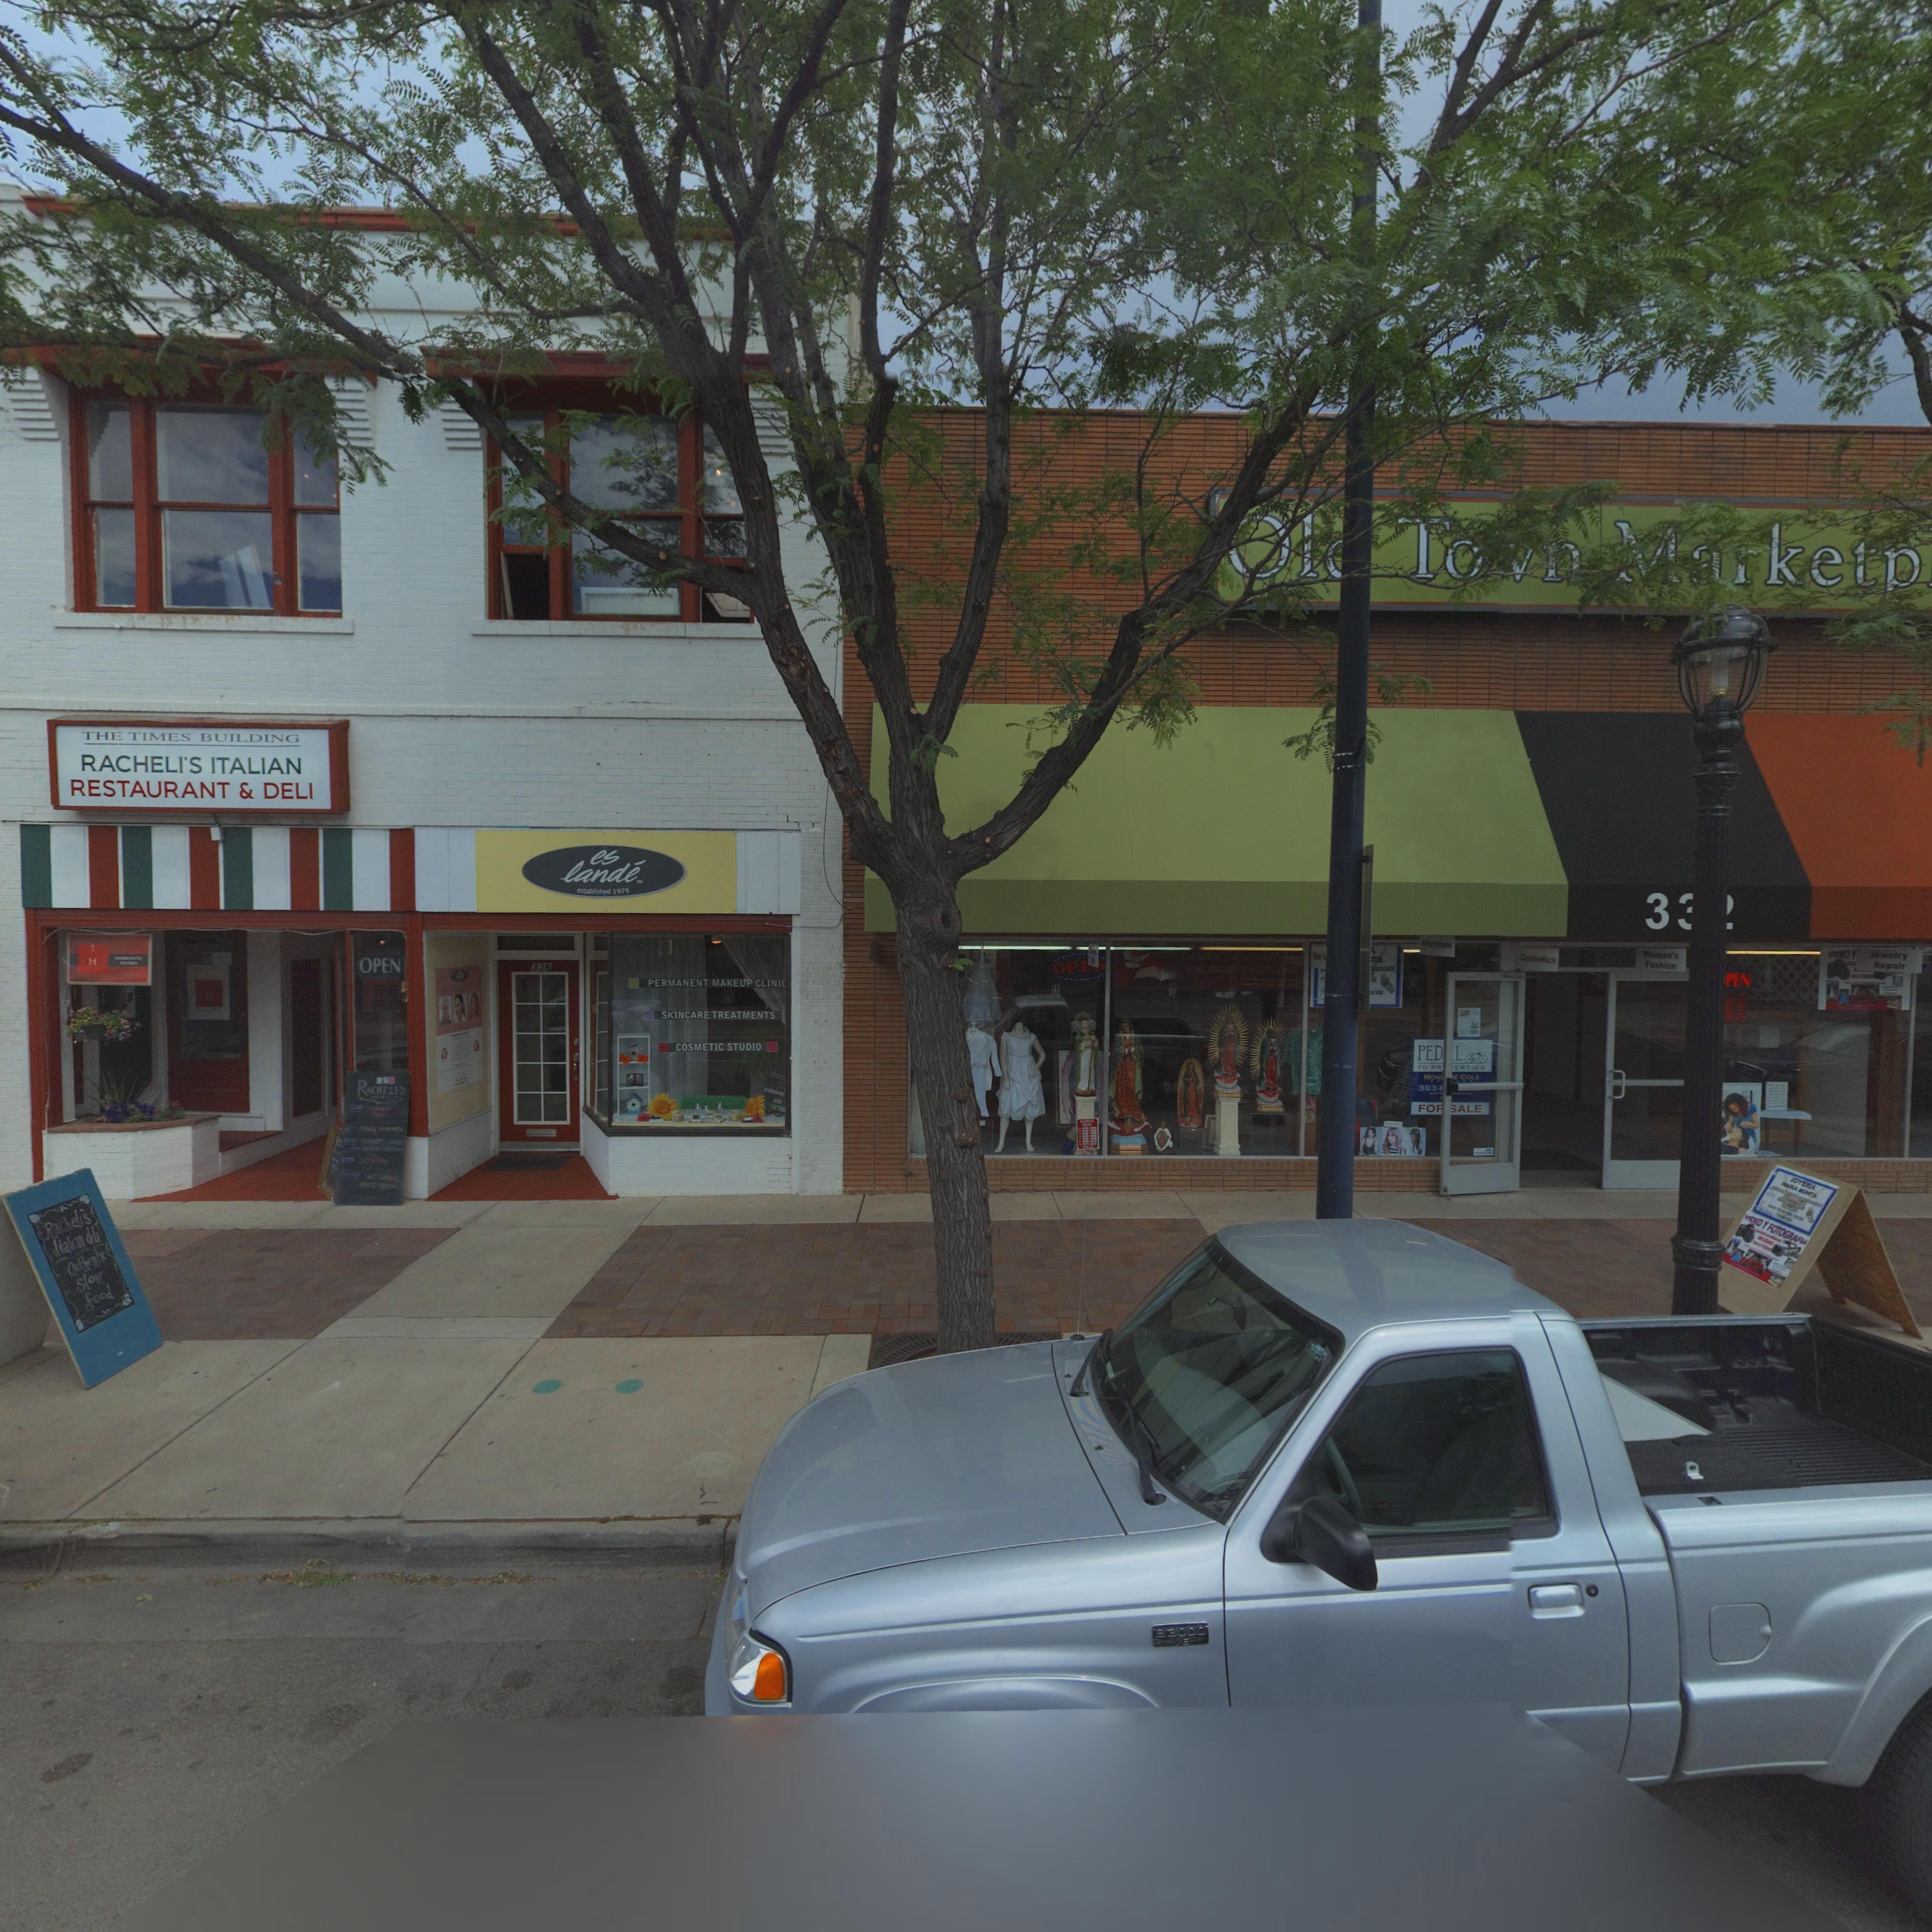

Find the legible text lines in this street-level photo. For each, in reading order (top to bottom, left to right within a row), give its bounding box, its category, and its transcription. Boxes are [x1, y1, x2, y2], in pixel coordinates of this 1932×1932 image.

[1222, 509, 1923, 608] BusinessName: Ol* To*n Marketp****
[80, 753, 301, 775] BusinessName: RACHELI'S ITALIAN
[589, 849, 621, 866] BusinessName: es
[559, 859, 647, 884] BusinessName: lande
[1644, 891, 1735, 930] StreetNumber: 3**
[531, 963, 551, 972] StreetNumber: 336
[1370, 956, 1383, 963] BusinessName: ****ITA
[356, 1078, 406, 1096] BusinessName: RACHELI'S
[1781, 1181, 1817, 1199] BusinessName: MA**A BO**T*
[1789, 1177, 1816, 1191] BusinessName: JOYER*A
[43, 1207, 92, 1241] BusinessName: Racheli's
[50, 1225, 102, 1258] BusinessName: Italian d*l*